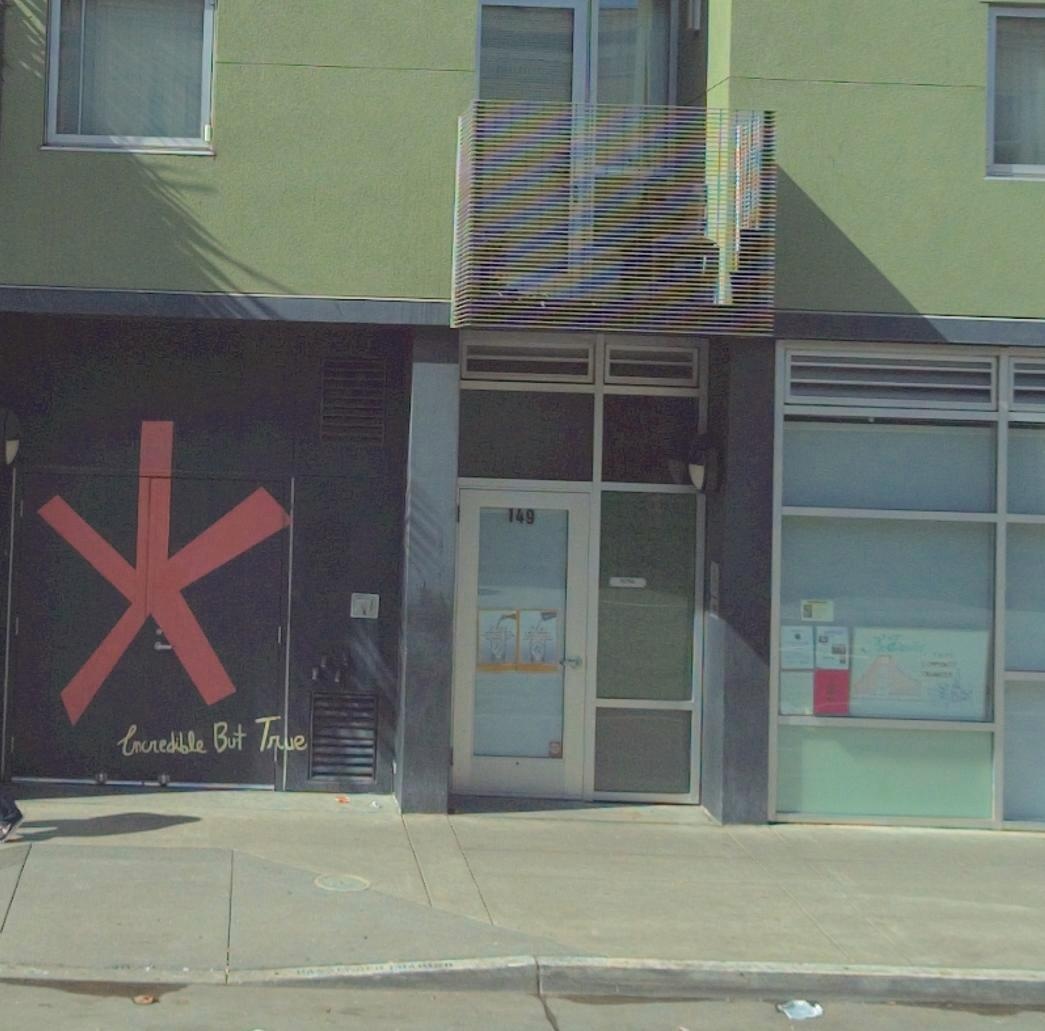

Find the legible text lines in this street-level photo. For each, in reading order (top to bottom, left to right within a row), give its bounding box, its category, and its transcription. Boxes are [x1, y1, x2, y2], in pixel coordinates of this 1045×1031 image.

[504, 504, 540, 529] StreetNumber: 149
[112, 707, 315, 761] None: Incredible But True